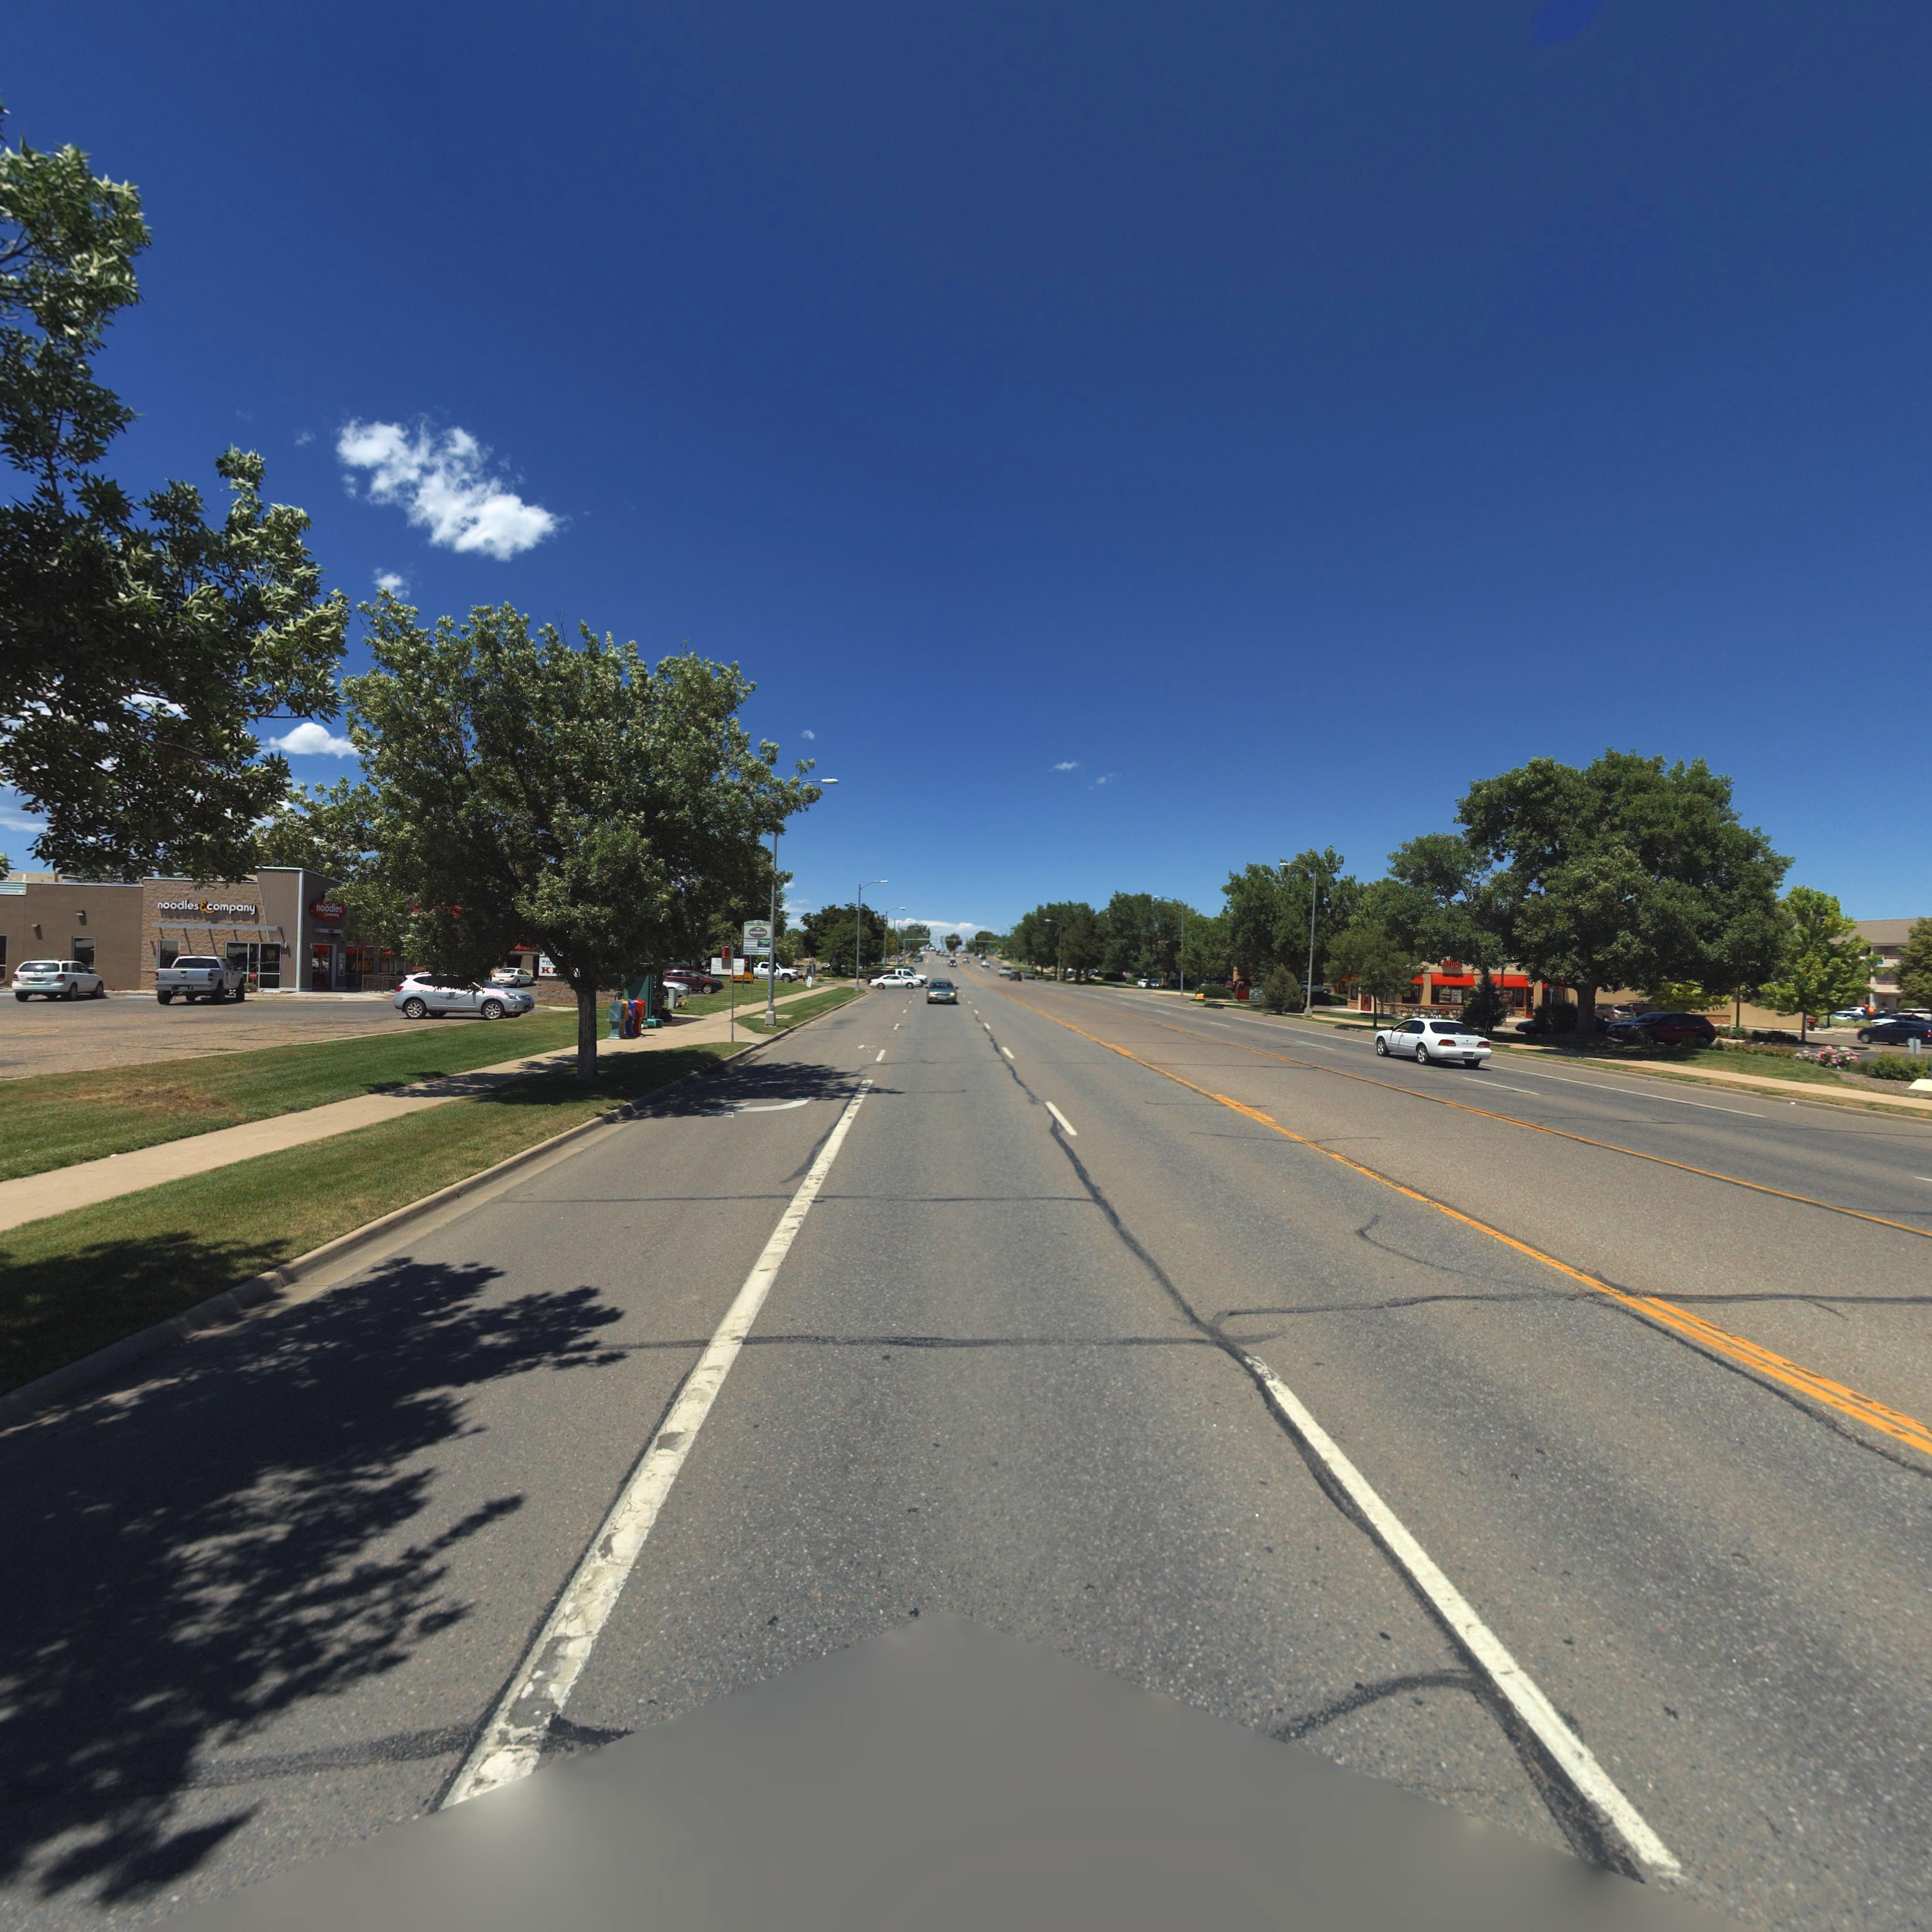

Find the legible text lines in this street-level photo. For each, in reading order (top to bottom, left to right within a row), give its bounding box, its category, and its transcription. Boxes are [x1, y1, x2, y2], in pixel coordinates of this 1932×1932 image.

[157, 898, 255, 915] BusinessName: noodles & company
[316, 902, 342, 913] BusinessName: noodles
[750, 930, 766, 934] BusinessName: *******s
[544, 960, 553, 966] BusinessName: T*
[1441, 958, 1463, 970] BusinessName: Arby*
[541, 966, 557, 974] BusinessName: K*